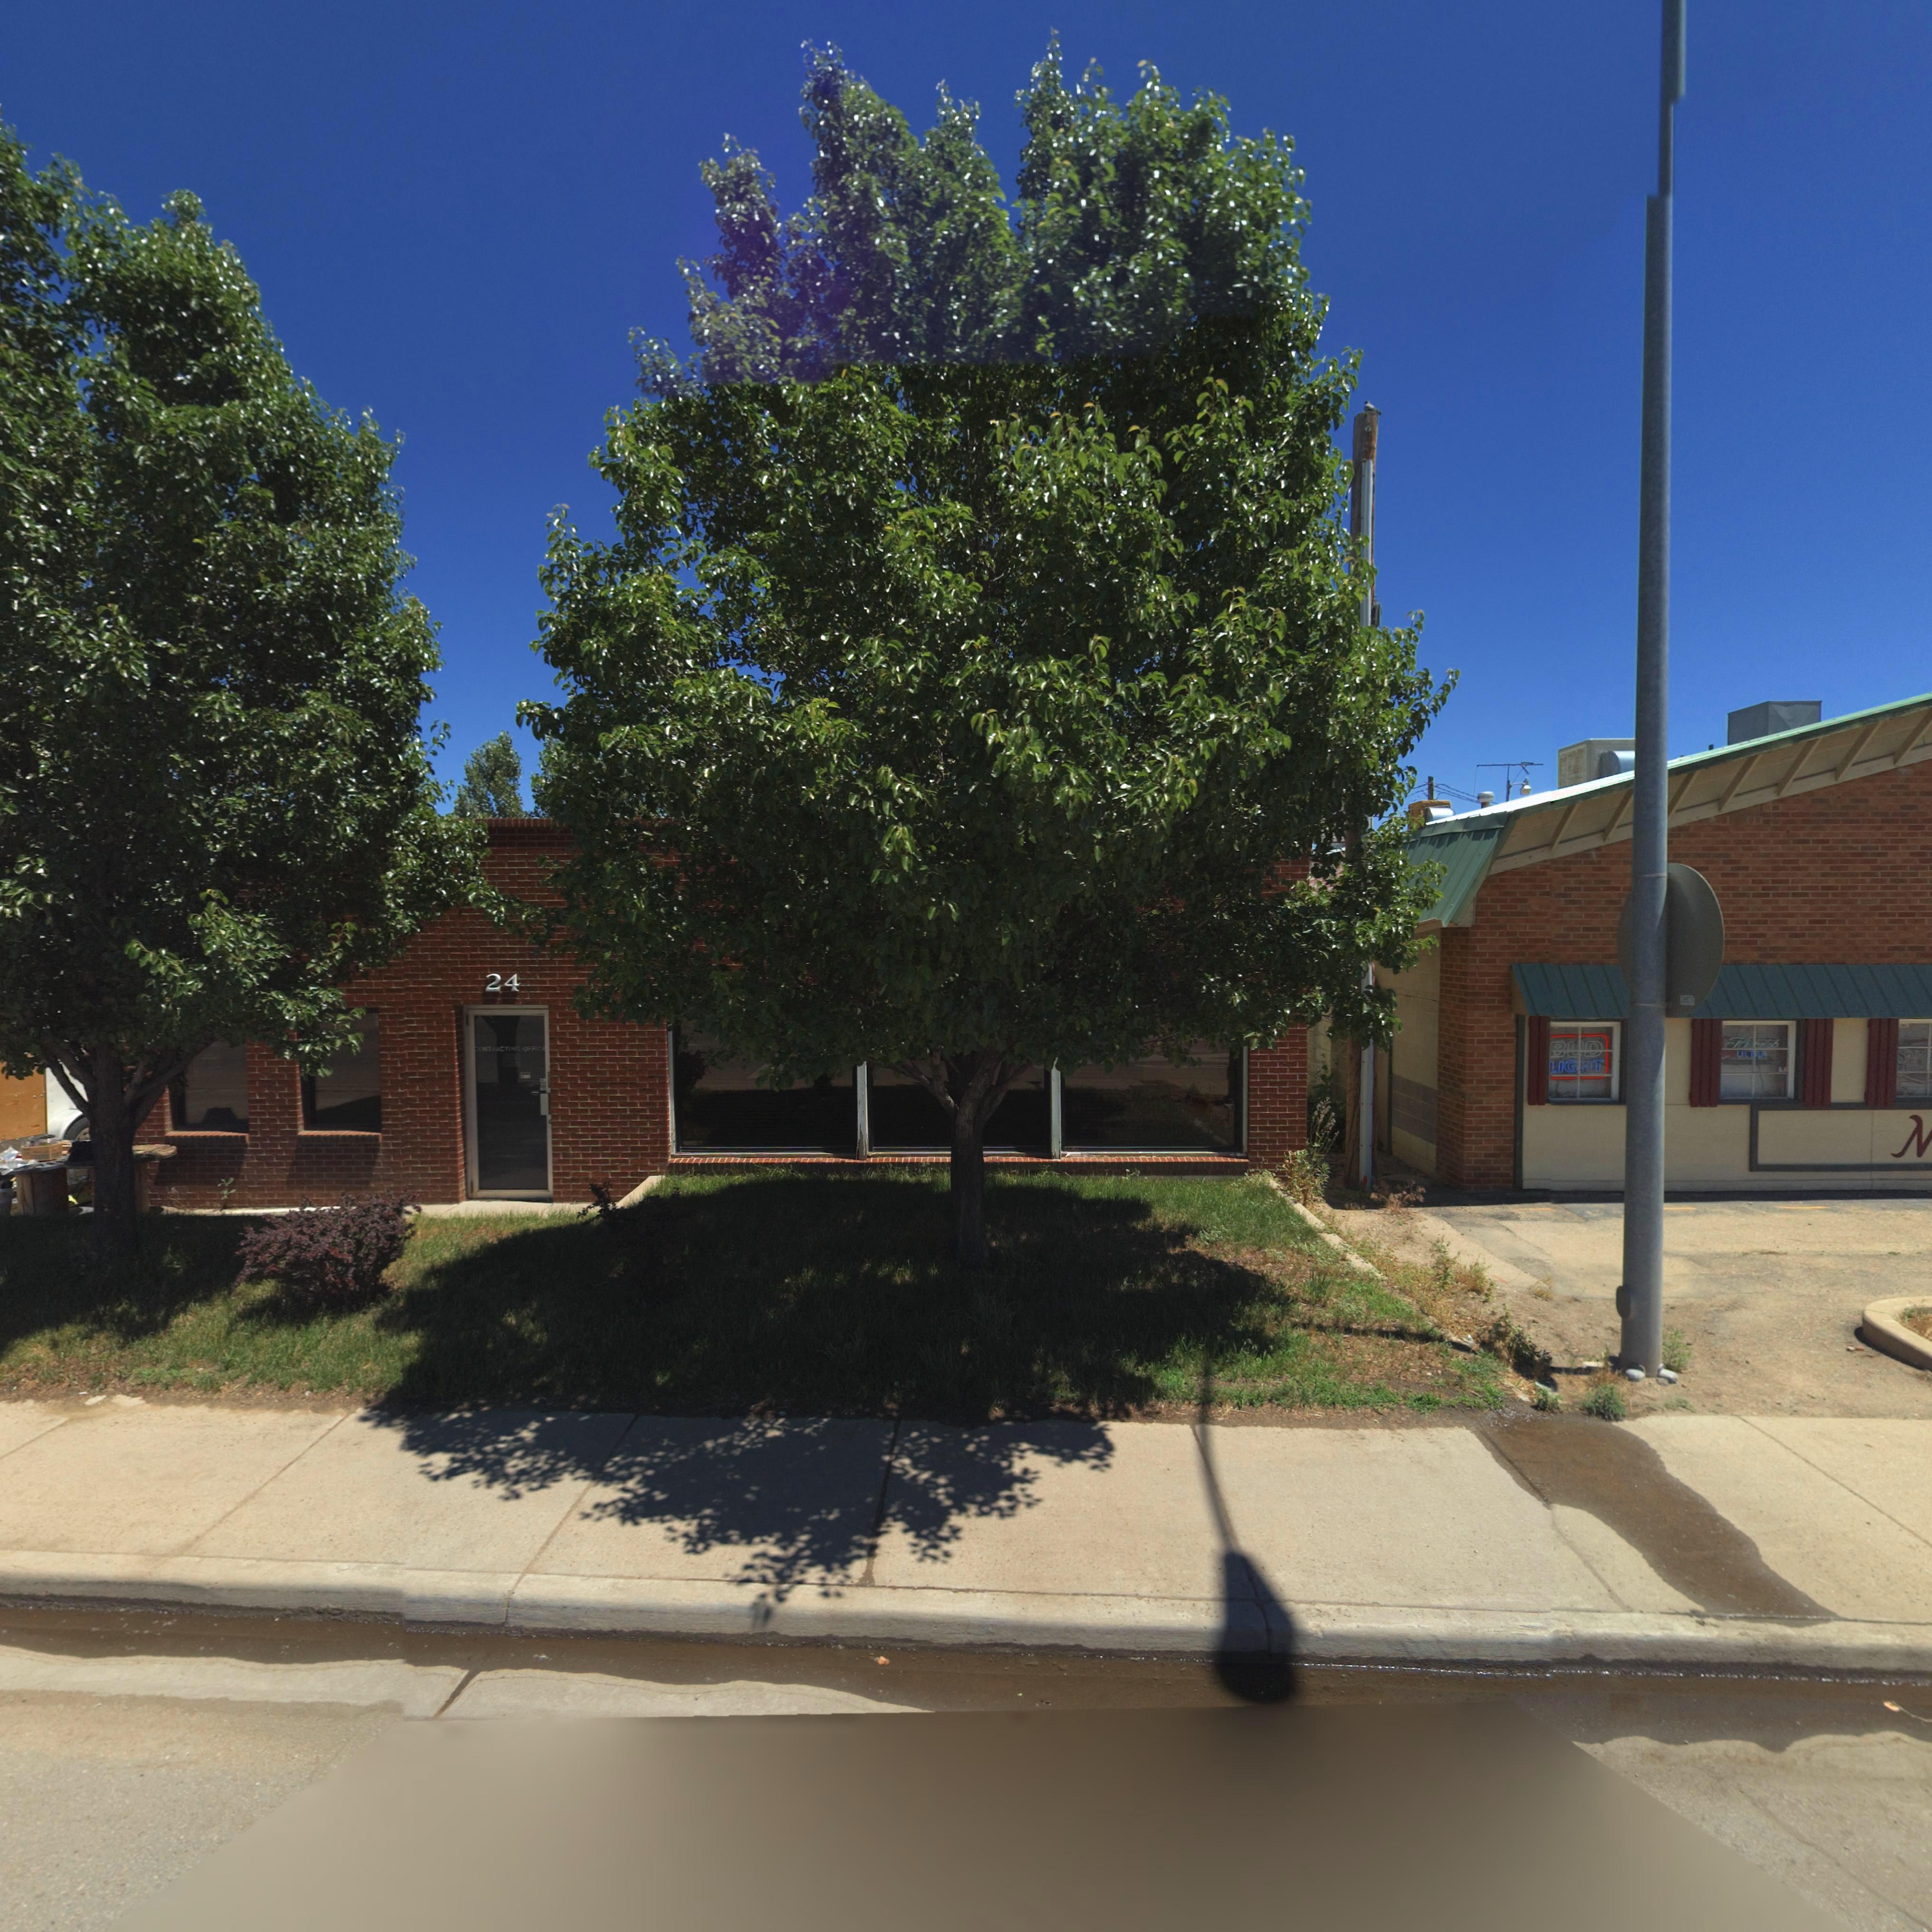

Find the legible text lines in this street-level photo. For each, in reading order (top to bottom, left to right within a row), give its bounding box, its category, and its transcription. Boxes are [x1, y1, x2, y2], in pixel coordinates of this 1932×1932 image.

[483, 972, 521, 992] StreetNumber: 24